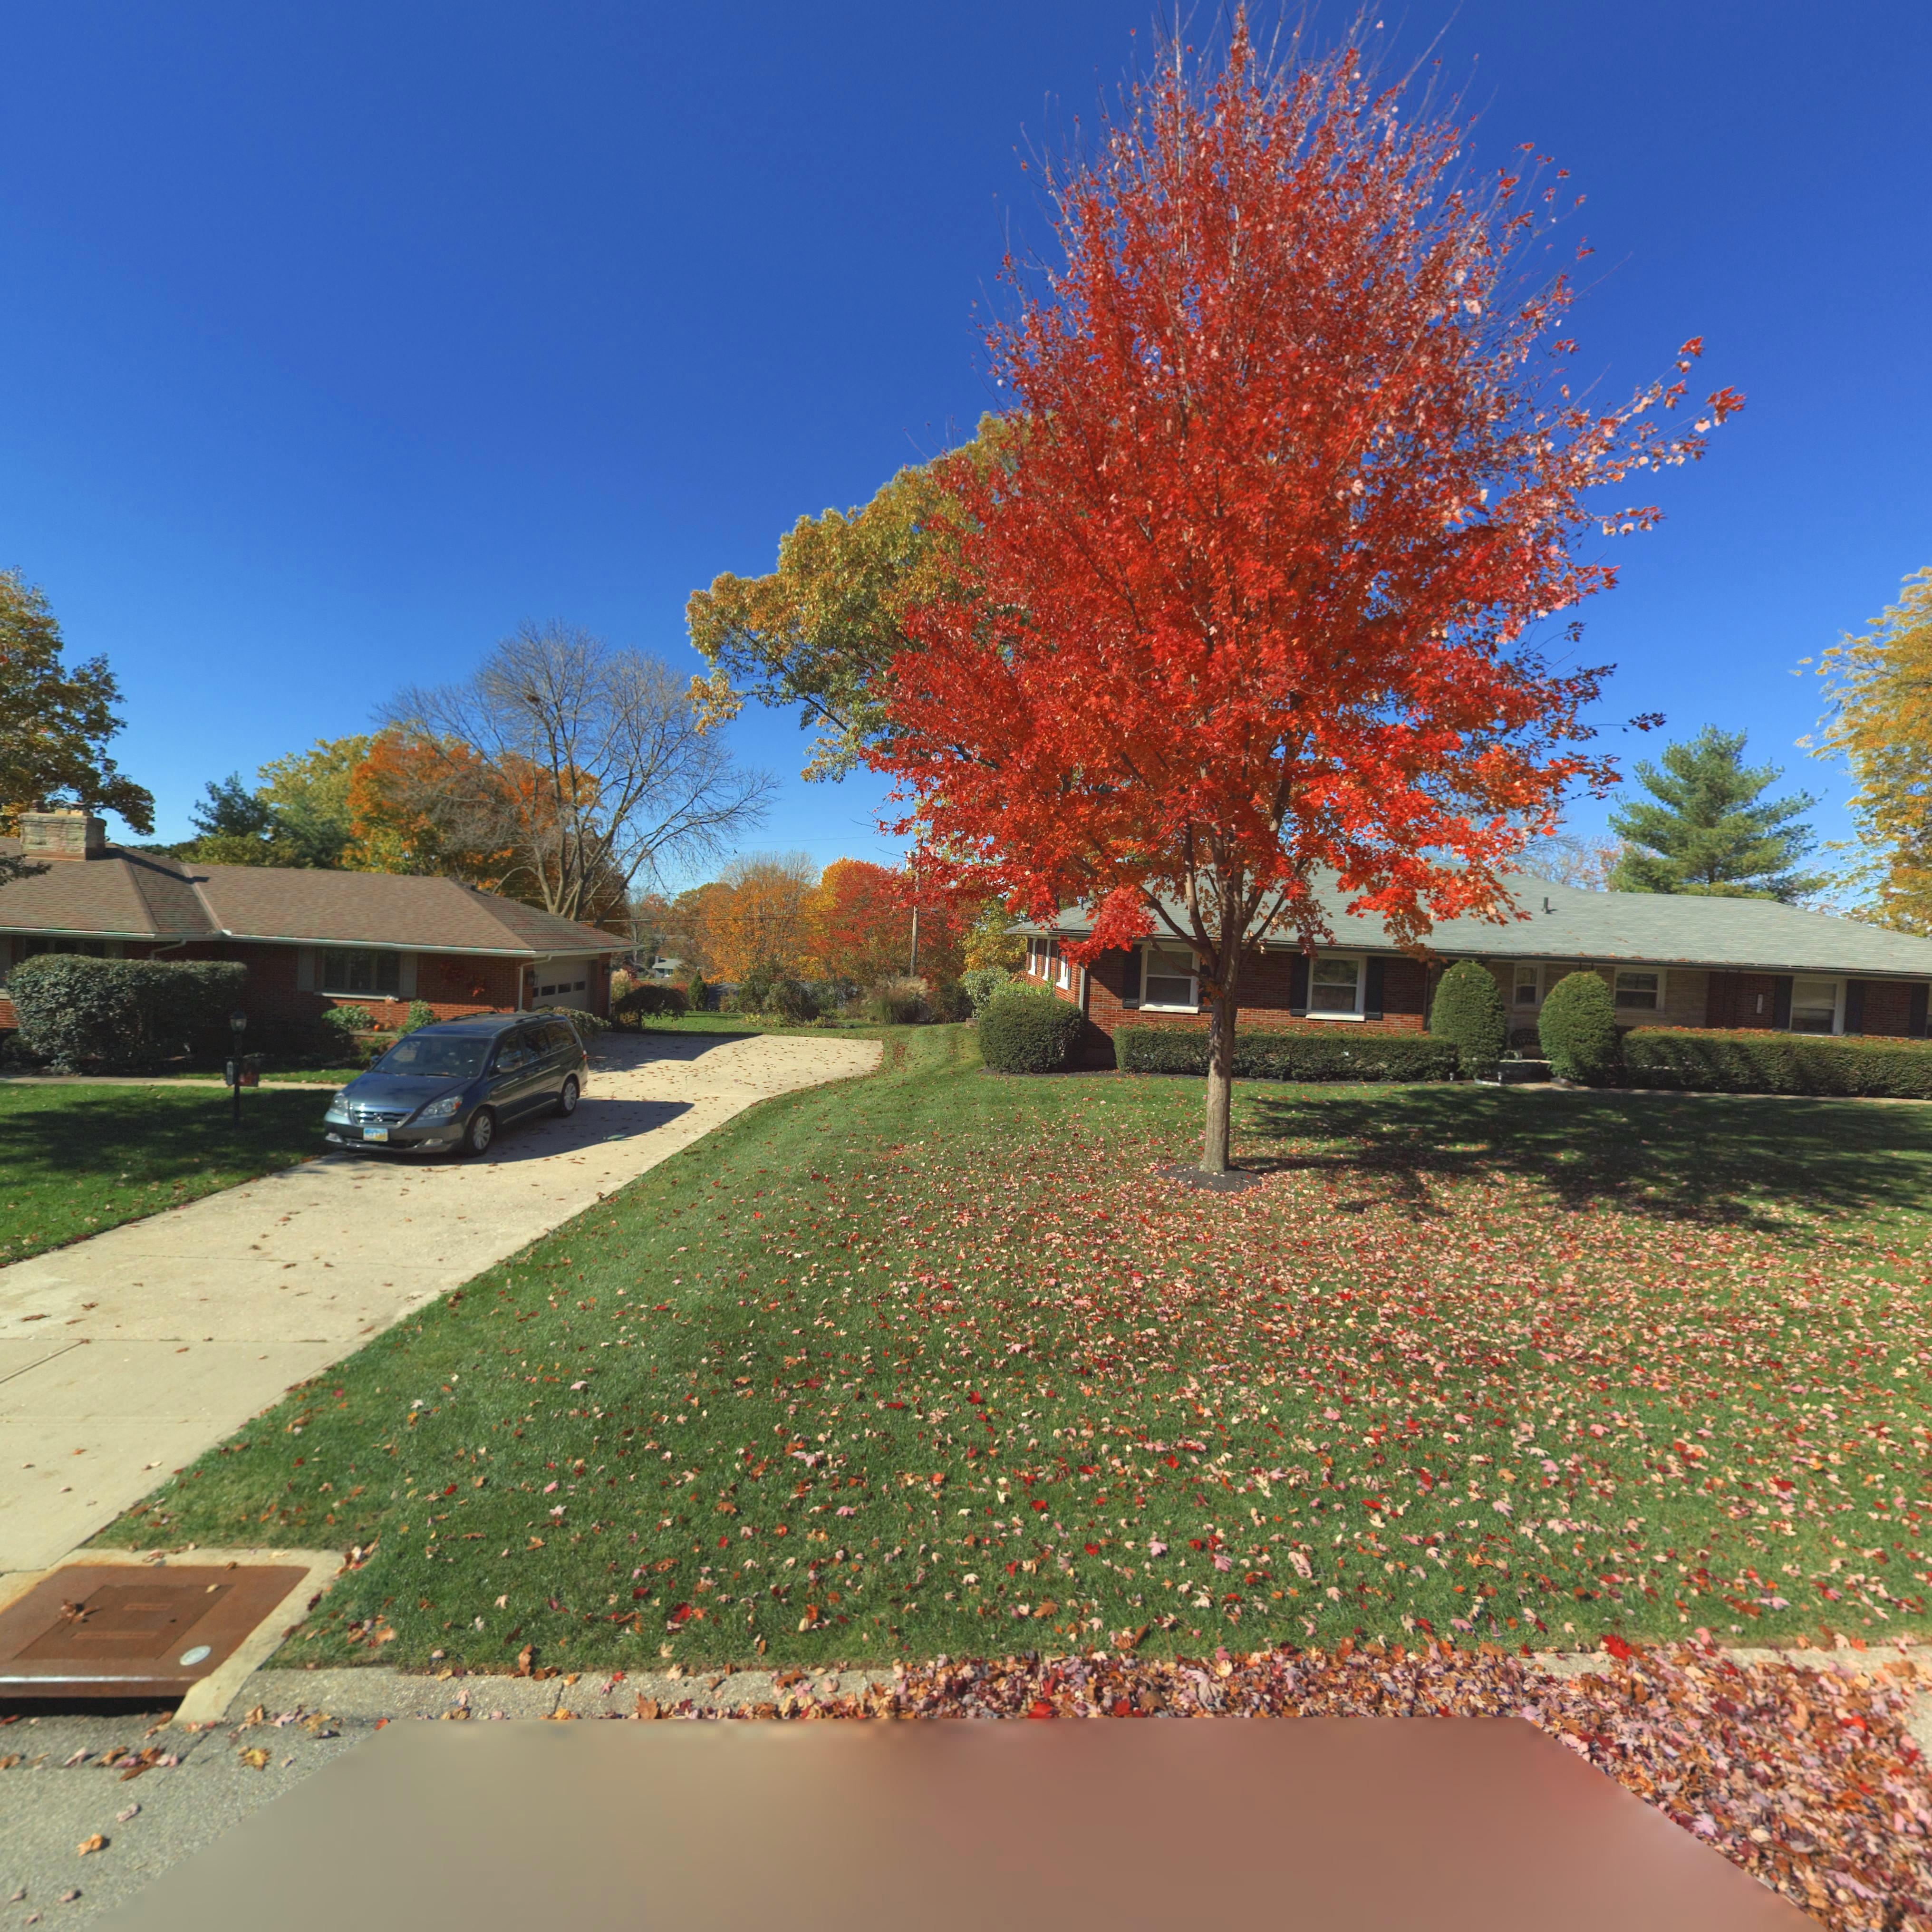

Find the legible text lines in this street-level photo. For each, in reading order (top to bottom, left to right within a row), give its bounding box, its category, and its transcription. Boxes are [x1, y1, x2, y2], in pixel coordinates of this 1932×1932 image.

[1756, 994, 1763, 1014] StreetNumber: 414*s